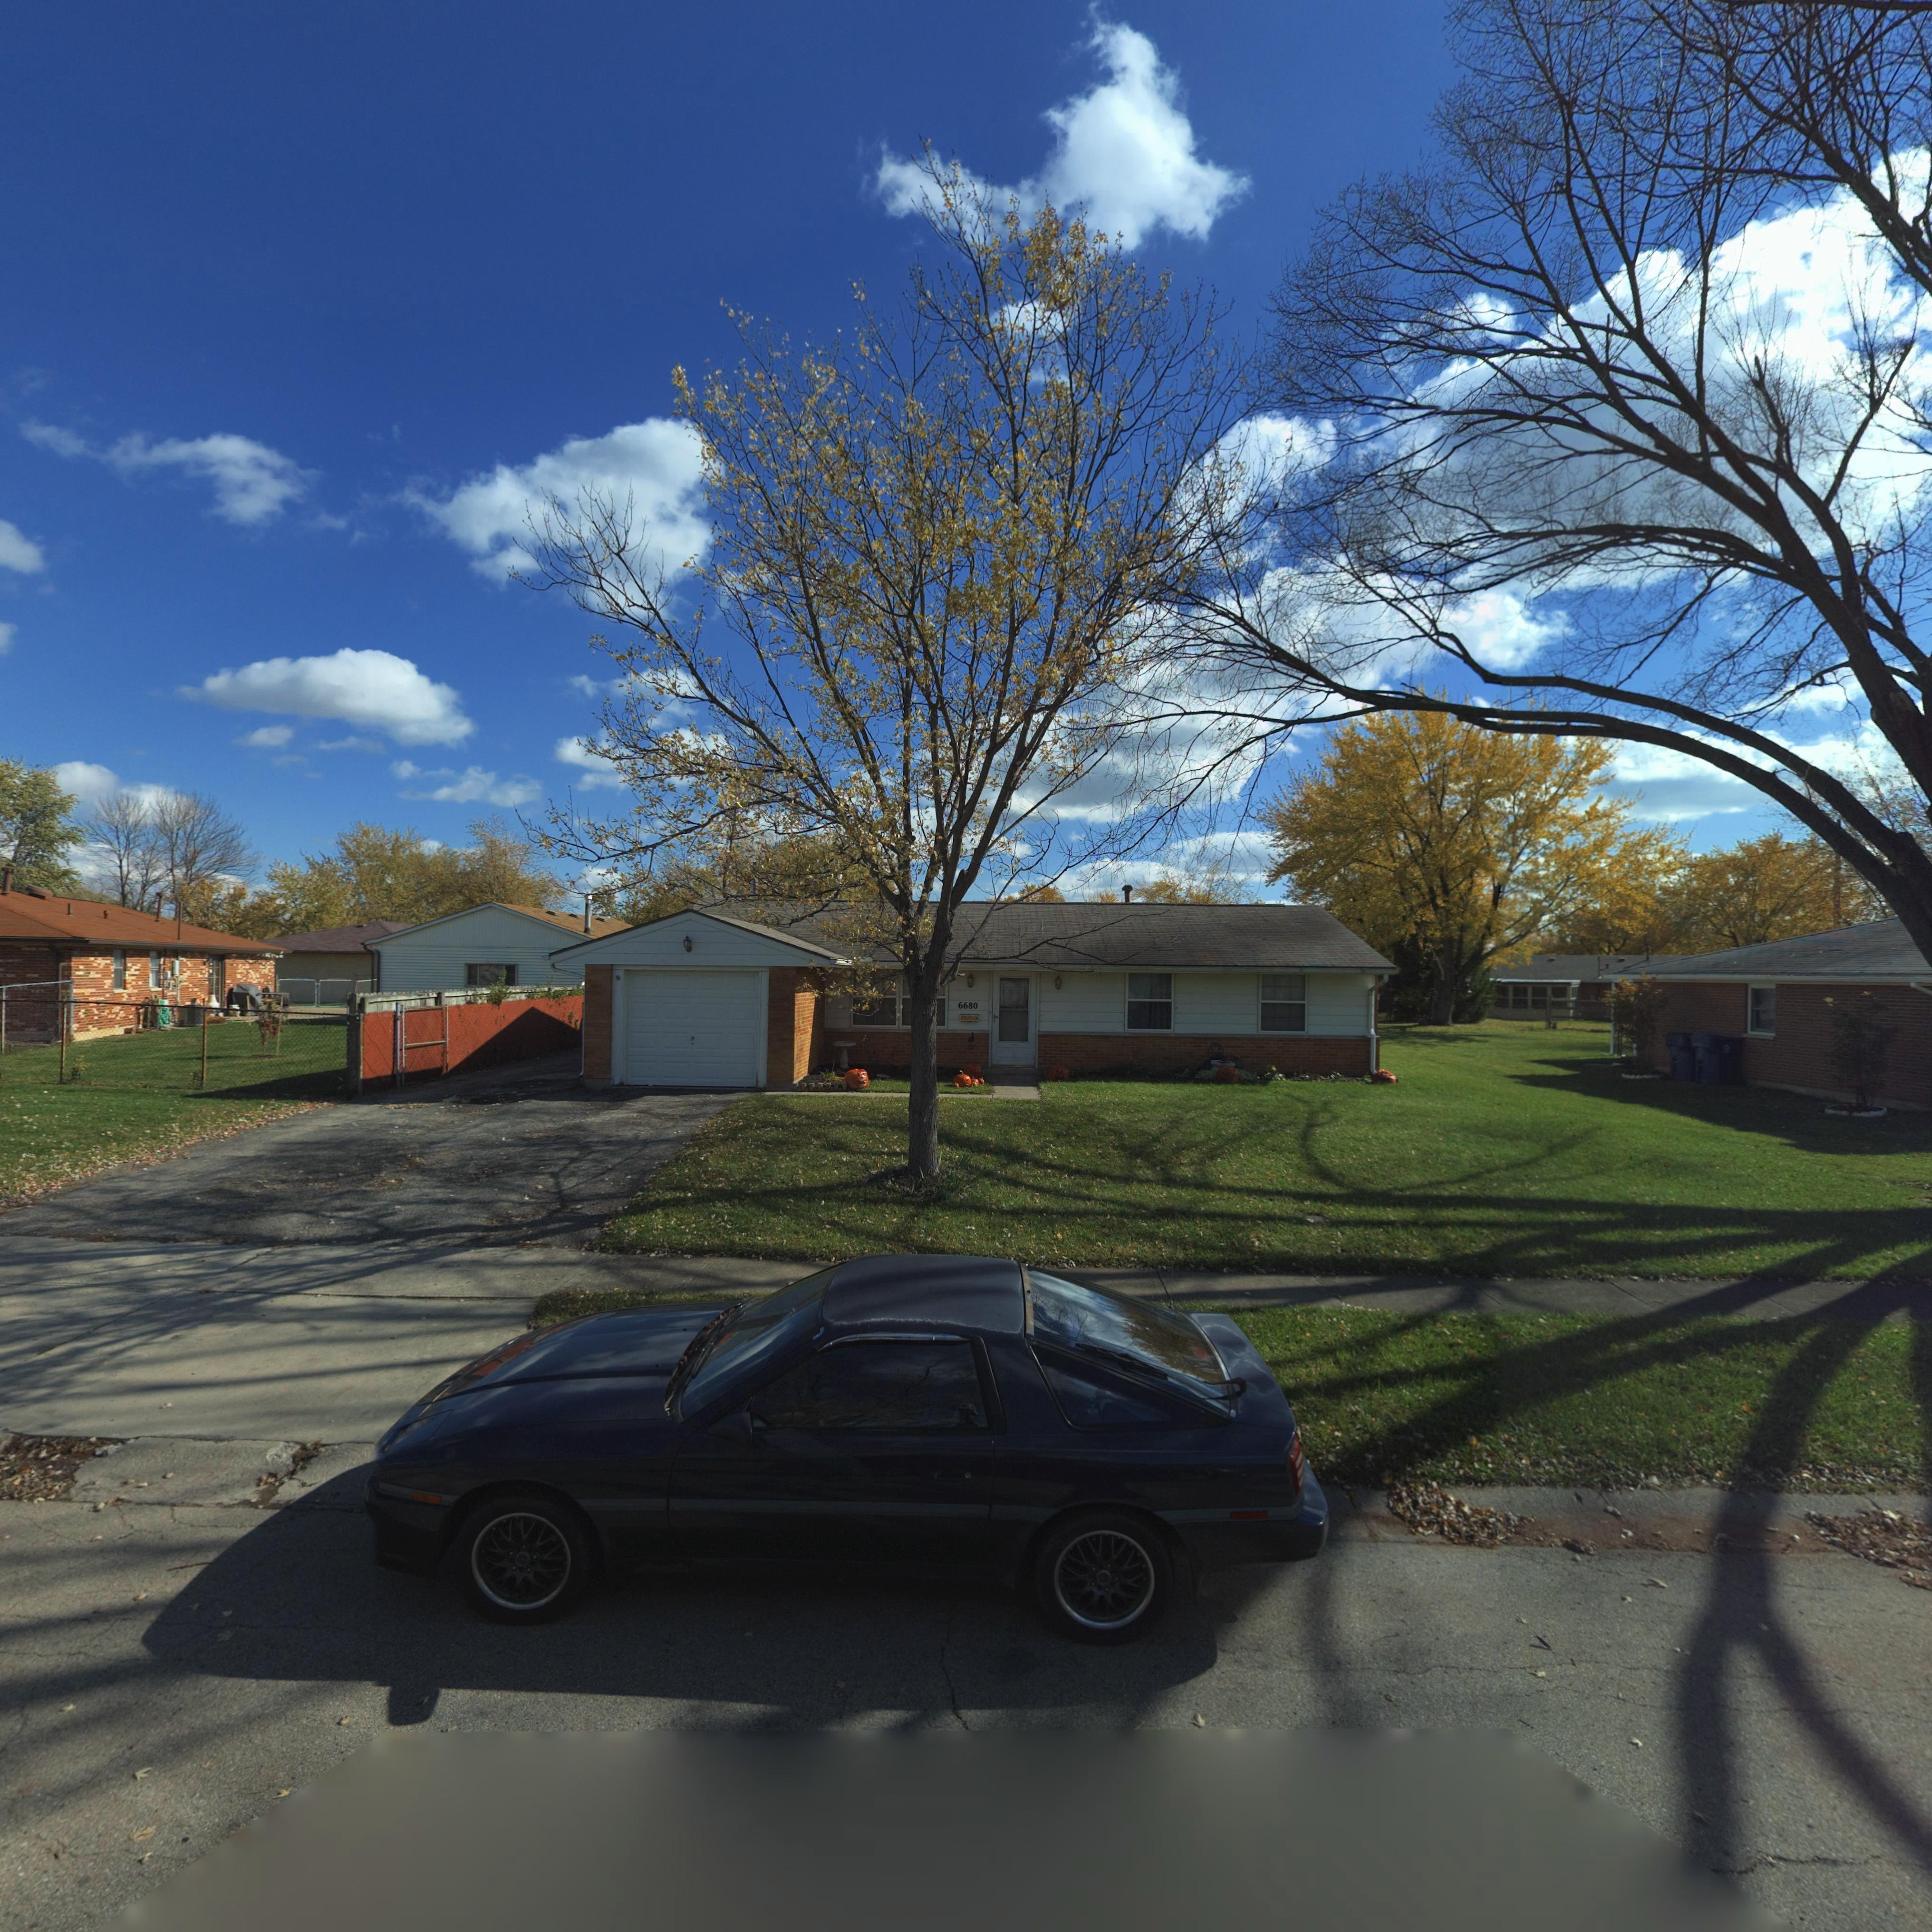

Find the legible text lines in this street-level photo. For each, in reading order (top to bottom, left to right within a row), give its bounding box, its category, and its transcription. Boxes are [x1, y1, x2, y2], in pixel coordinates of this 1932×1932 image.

[958, 1001, 978, 1009] StreetNumber: 6680